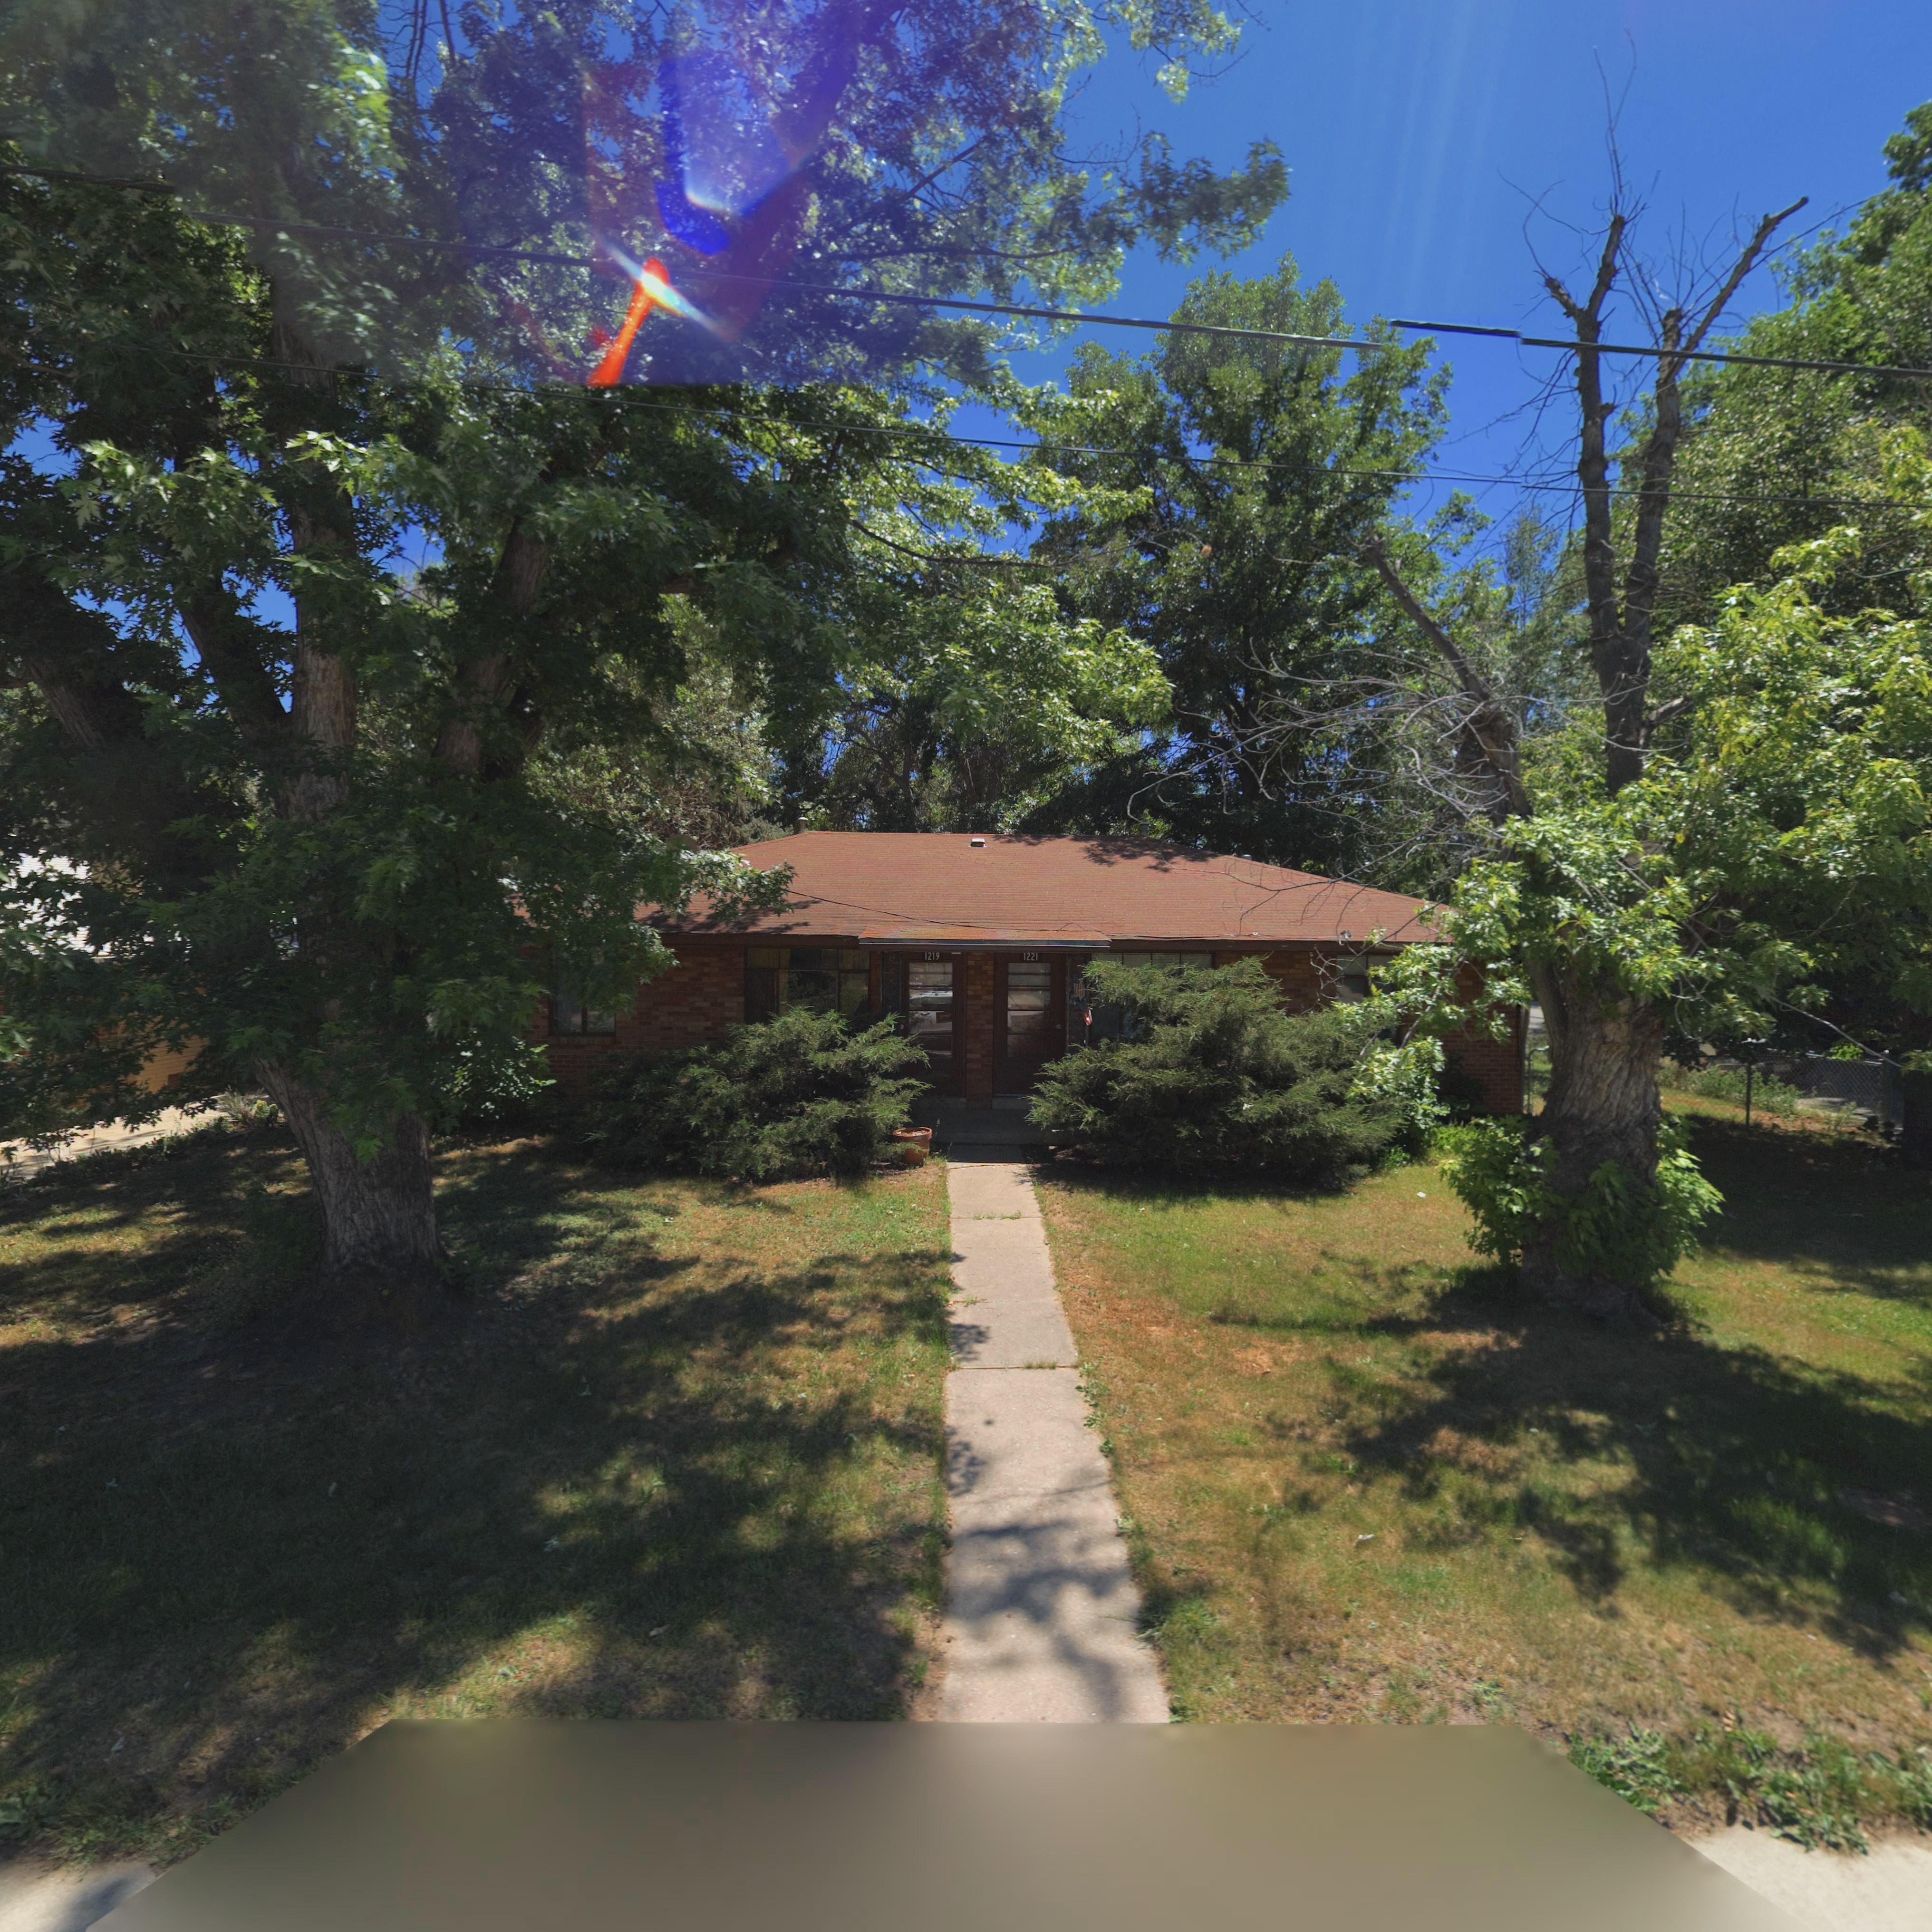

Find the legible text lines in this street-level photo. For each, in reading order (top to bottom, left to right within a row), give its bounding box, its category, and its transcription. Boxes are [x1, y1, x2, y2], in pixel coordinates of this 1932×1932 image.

[924, 952, 940, 960] StreetNumber: 1219
[1024, 952, 1038, 960] StreetNumber: 1221